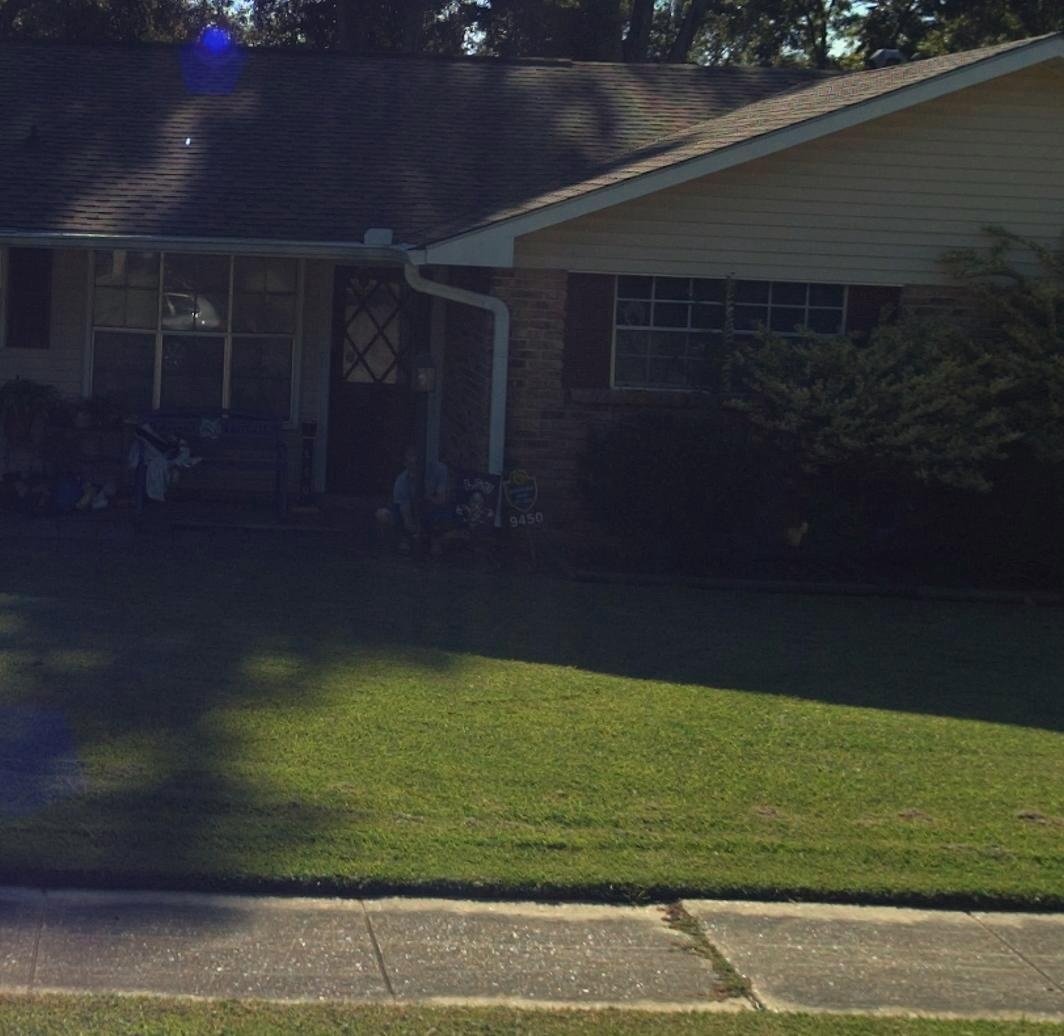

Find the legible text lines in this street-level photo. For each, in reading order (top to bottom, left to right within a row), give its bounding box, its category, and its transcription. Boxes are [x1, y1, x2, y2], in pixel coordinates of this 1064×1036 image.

[507, 510, 546, 529] StreetNumber: 9450